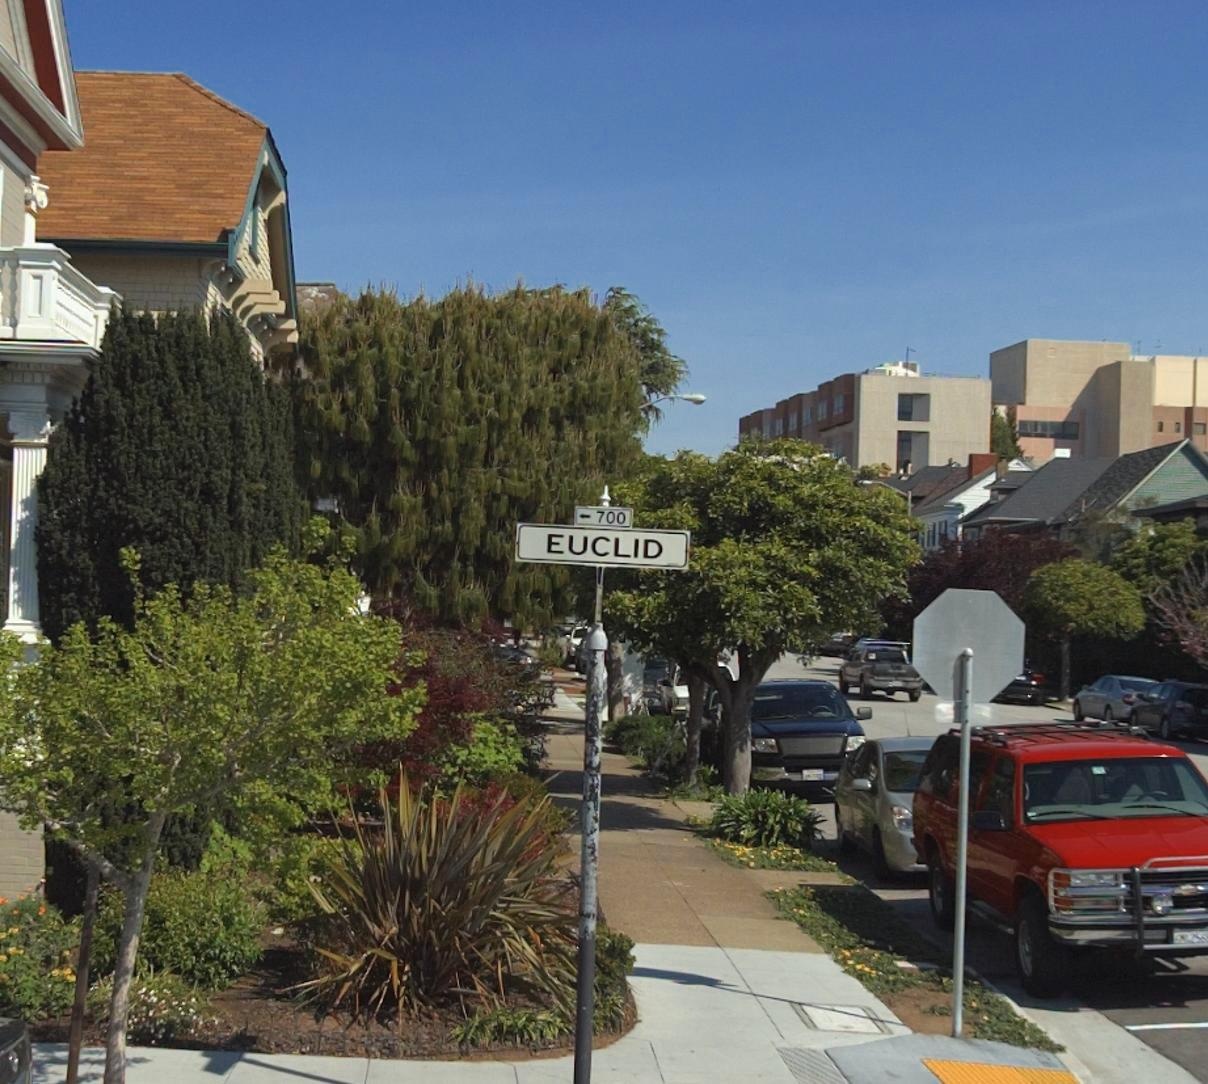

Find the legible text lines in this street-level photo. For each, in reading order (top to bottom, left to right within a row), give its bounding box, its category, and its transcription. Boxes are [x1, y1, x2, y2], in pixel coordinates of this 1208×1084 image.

[577, 506, 628, 526] StreetNumberRange: <-700
[543, 530, 665, 562] StreetName: EUCLID